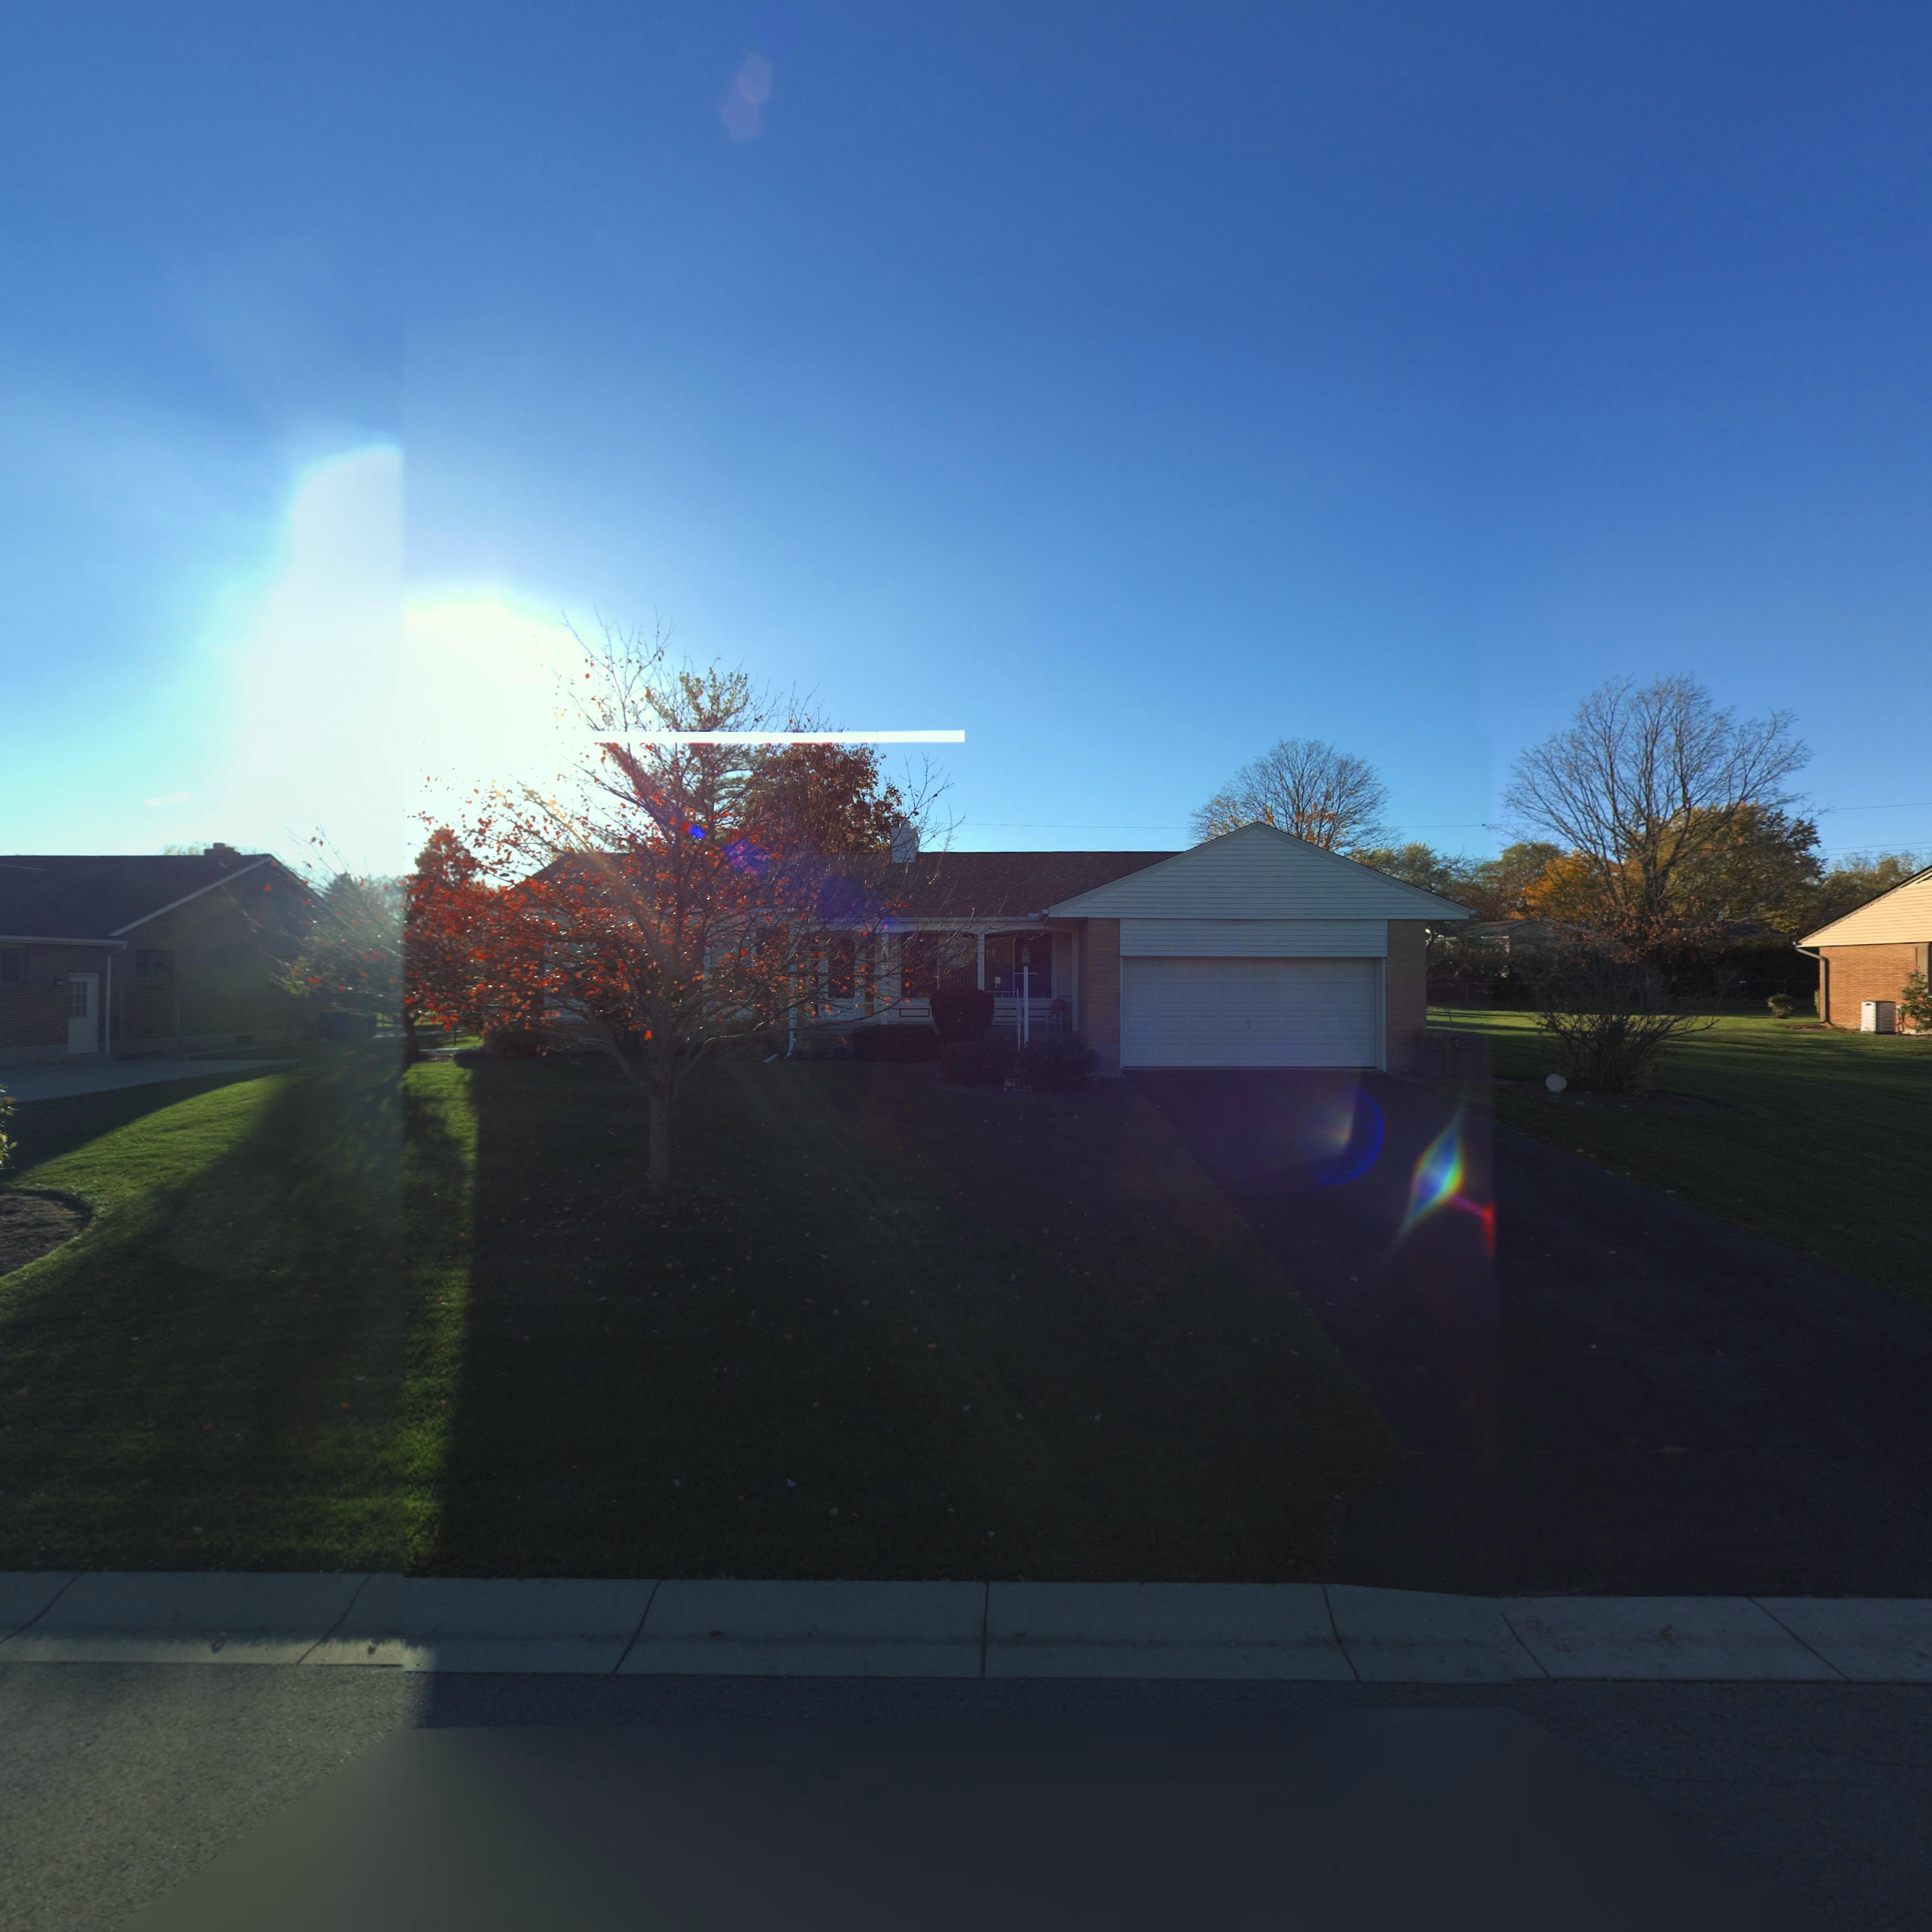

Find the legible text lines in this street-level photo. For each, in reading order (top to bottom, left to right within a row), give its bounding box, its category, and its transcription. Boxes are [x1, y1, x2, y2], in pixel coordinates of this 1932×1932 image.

[1009, 1080, 1028, 1090] StreetNumber: 75**